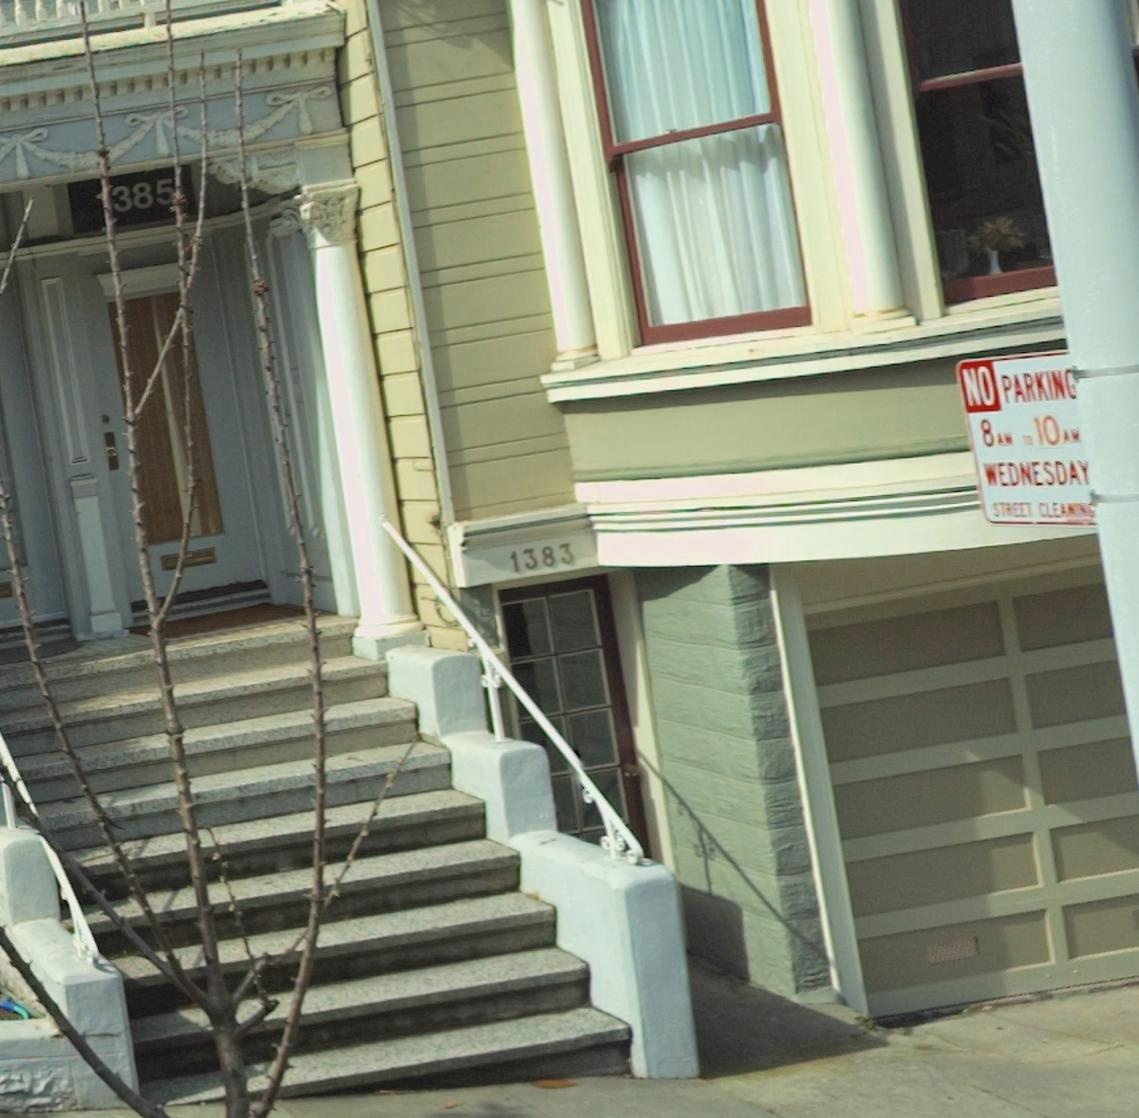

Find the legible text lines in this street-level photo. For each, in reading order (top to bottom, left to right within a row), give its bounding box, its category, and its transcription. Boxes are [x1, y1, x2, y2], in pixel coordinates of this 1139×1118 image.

[956, 362, 1080, 411] None: NO PARKING
[975, 410, 1085, 452] None: 8AM TO 10AM
[976, 457, 1094, 490] None: WEDNESDAY
[989, 498, 1101, 522] None: STREET CLEANING
[504, 537, 579, 578] StreetNumber: 1383